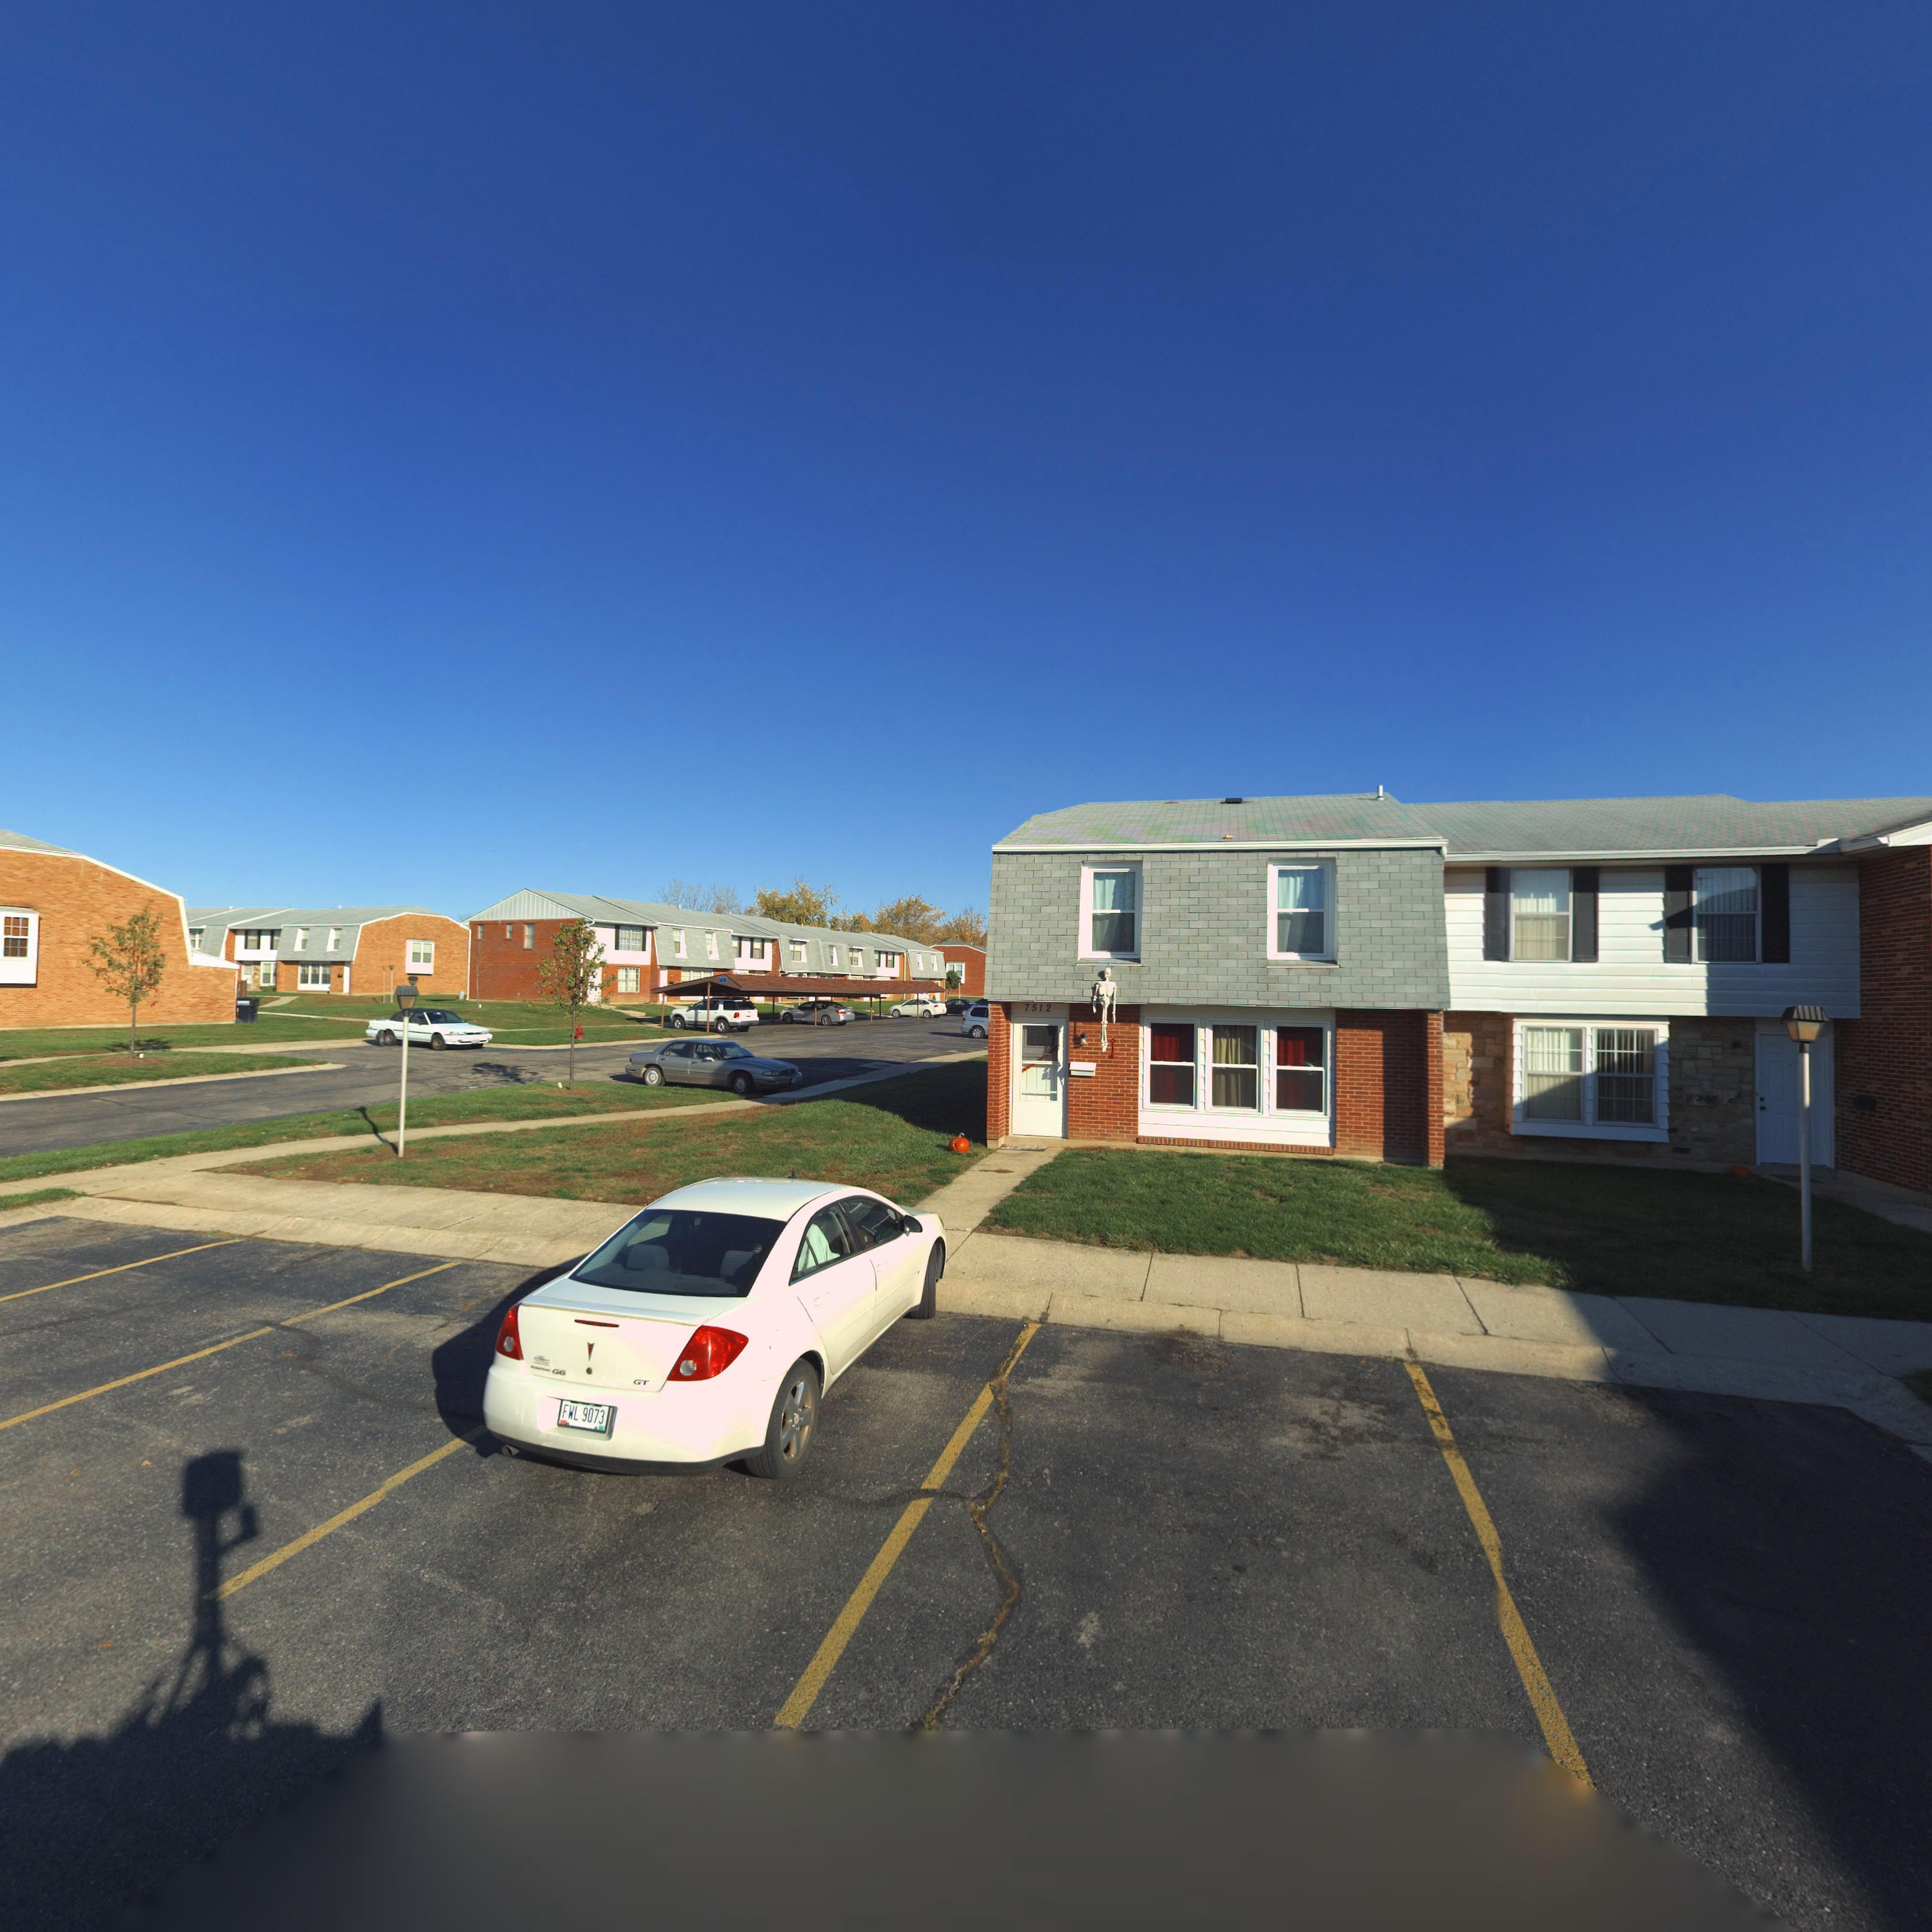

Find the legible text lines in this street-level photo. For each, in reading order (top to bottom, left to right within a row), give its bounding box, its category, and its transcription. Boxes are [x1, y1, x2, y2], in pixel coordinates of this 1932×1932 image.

[1024, 1003, 1052, 1013] StreetNumber: 7512